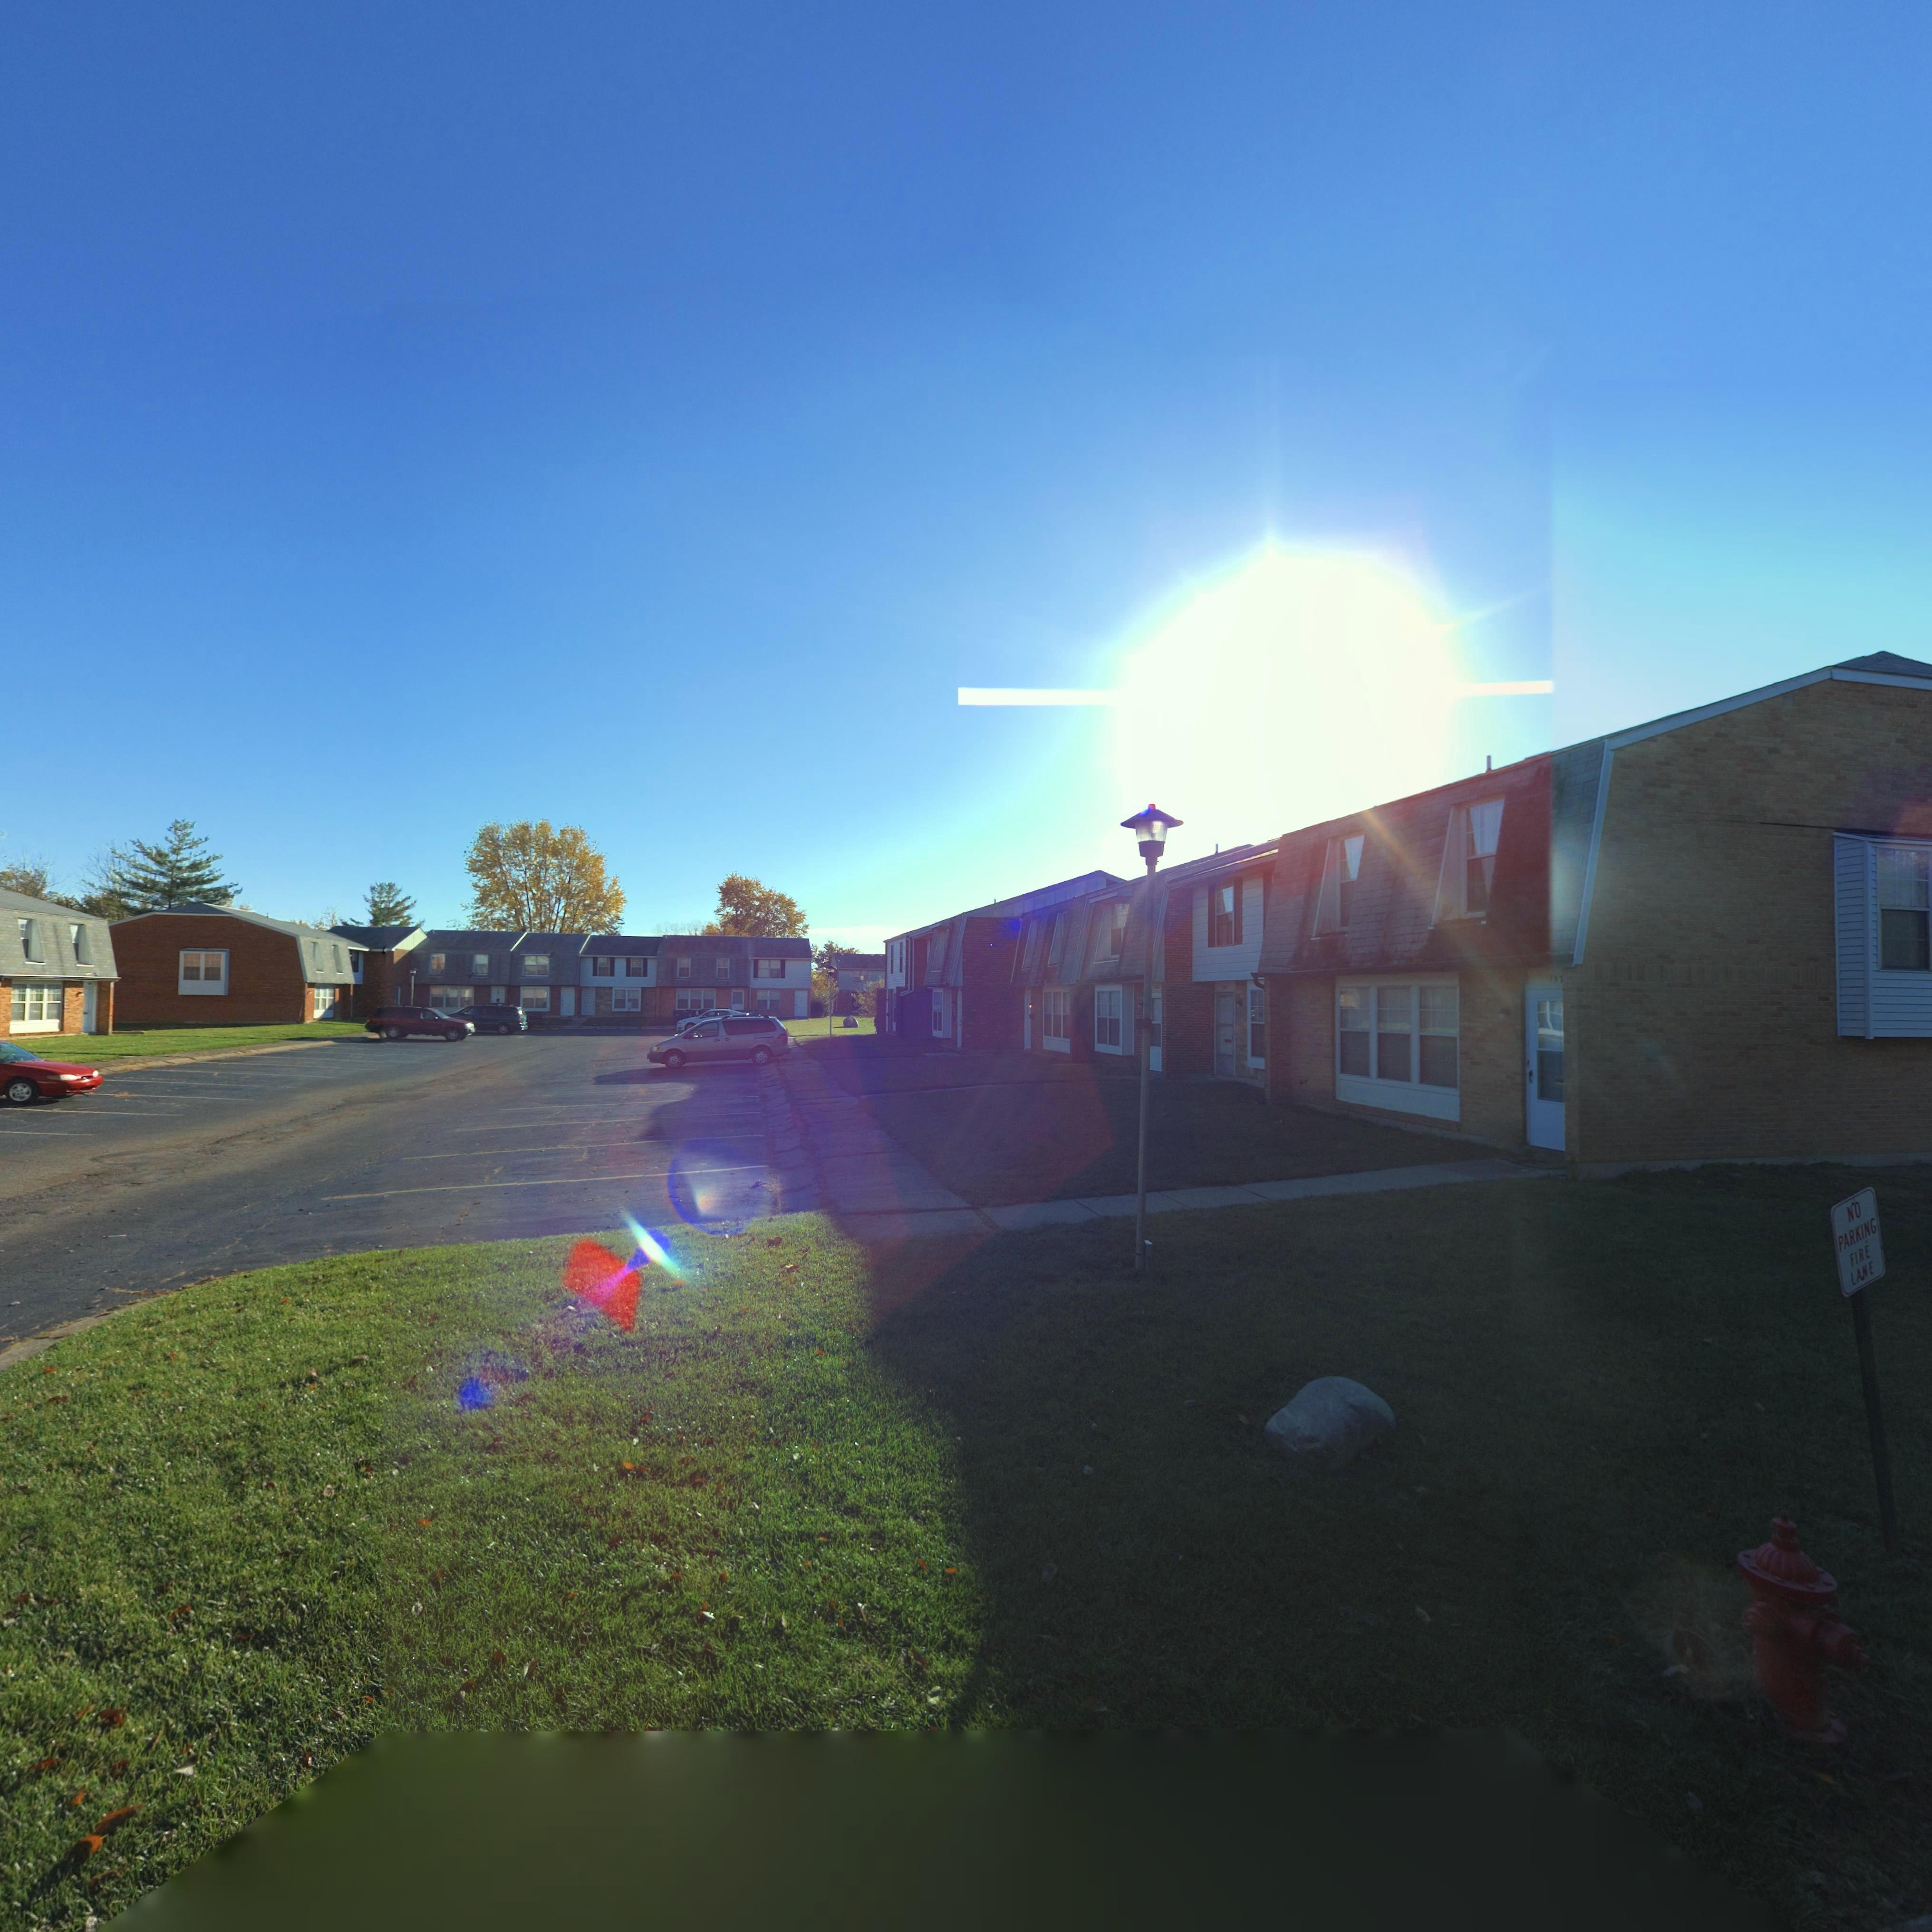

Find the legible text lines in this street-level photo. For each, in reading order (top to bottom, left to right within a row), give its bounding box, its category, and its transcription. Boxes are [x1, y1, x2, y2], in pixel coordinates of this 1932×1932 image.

[1547, 974, 1559, 984] StreetNumber: *5